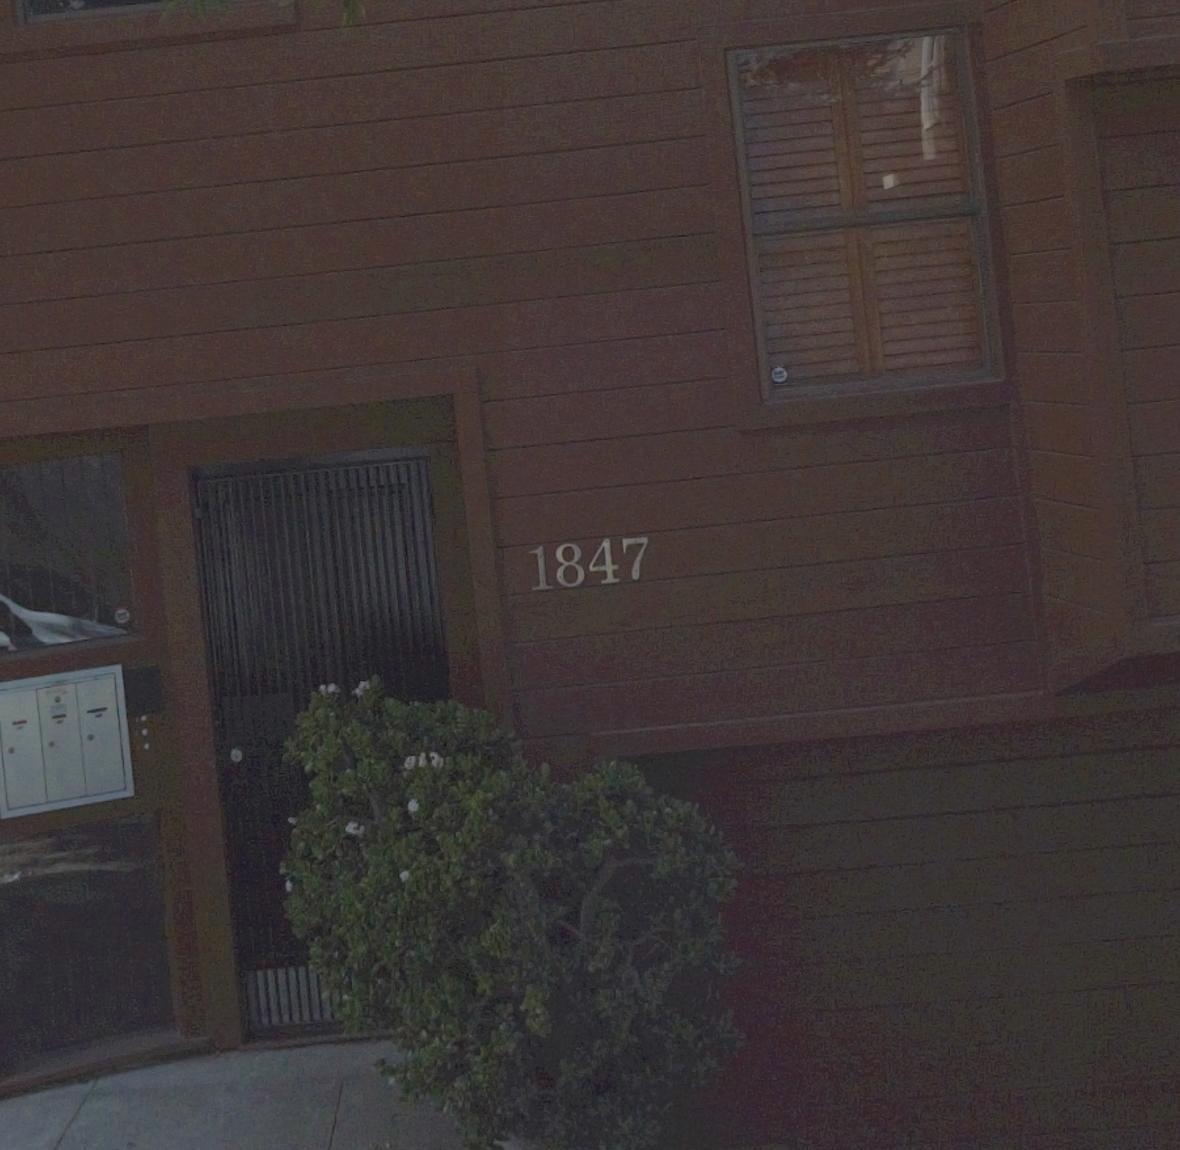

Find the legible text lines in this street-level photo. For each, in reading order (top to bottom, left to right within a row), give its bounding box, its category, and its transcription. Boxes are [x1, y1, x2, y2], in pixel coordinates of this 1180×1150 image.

[526, 534, 651, 593] StreetNumber: 1847